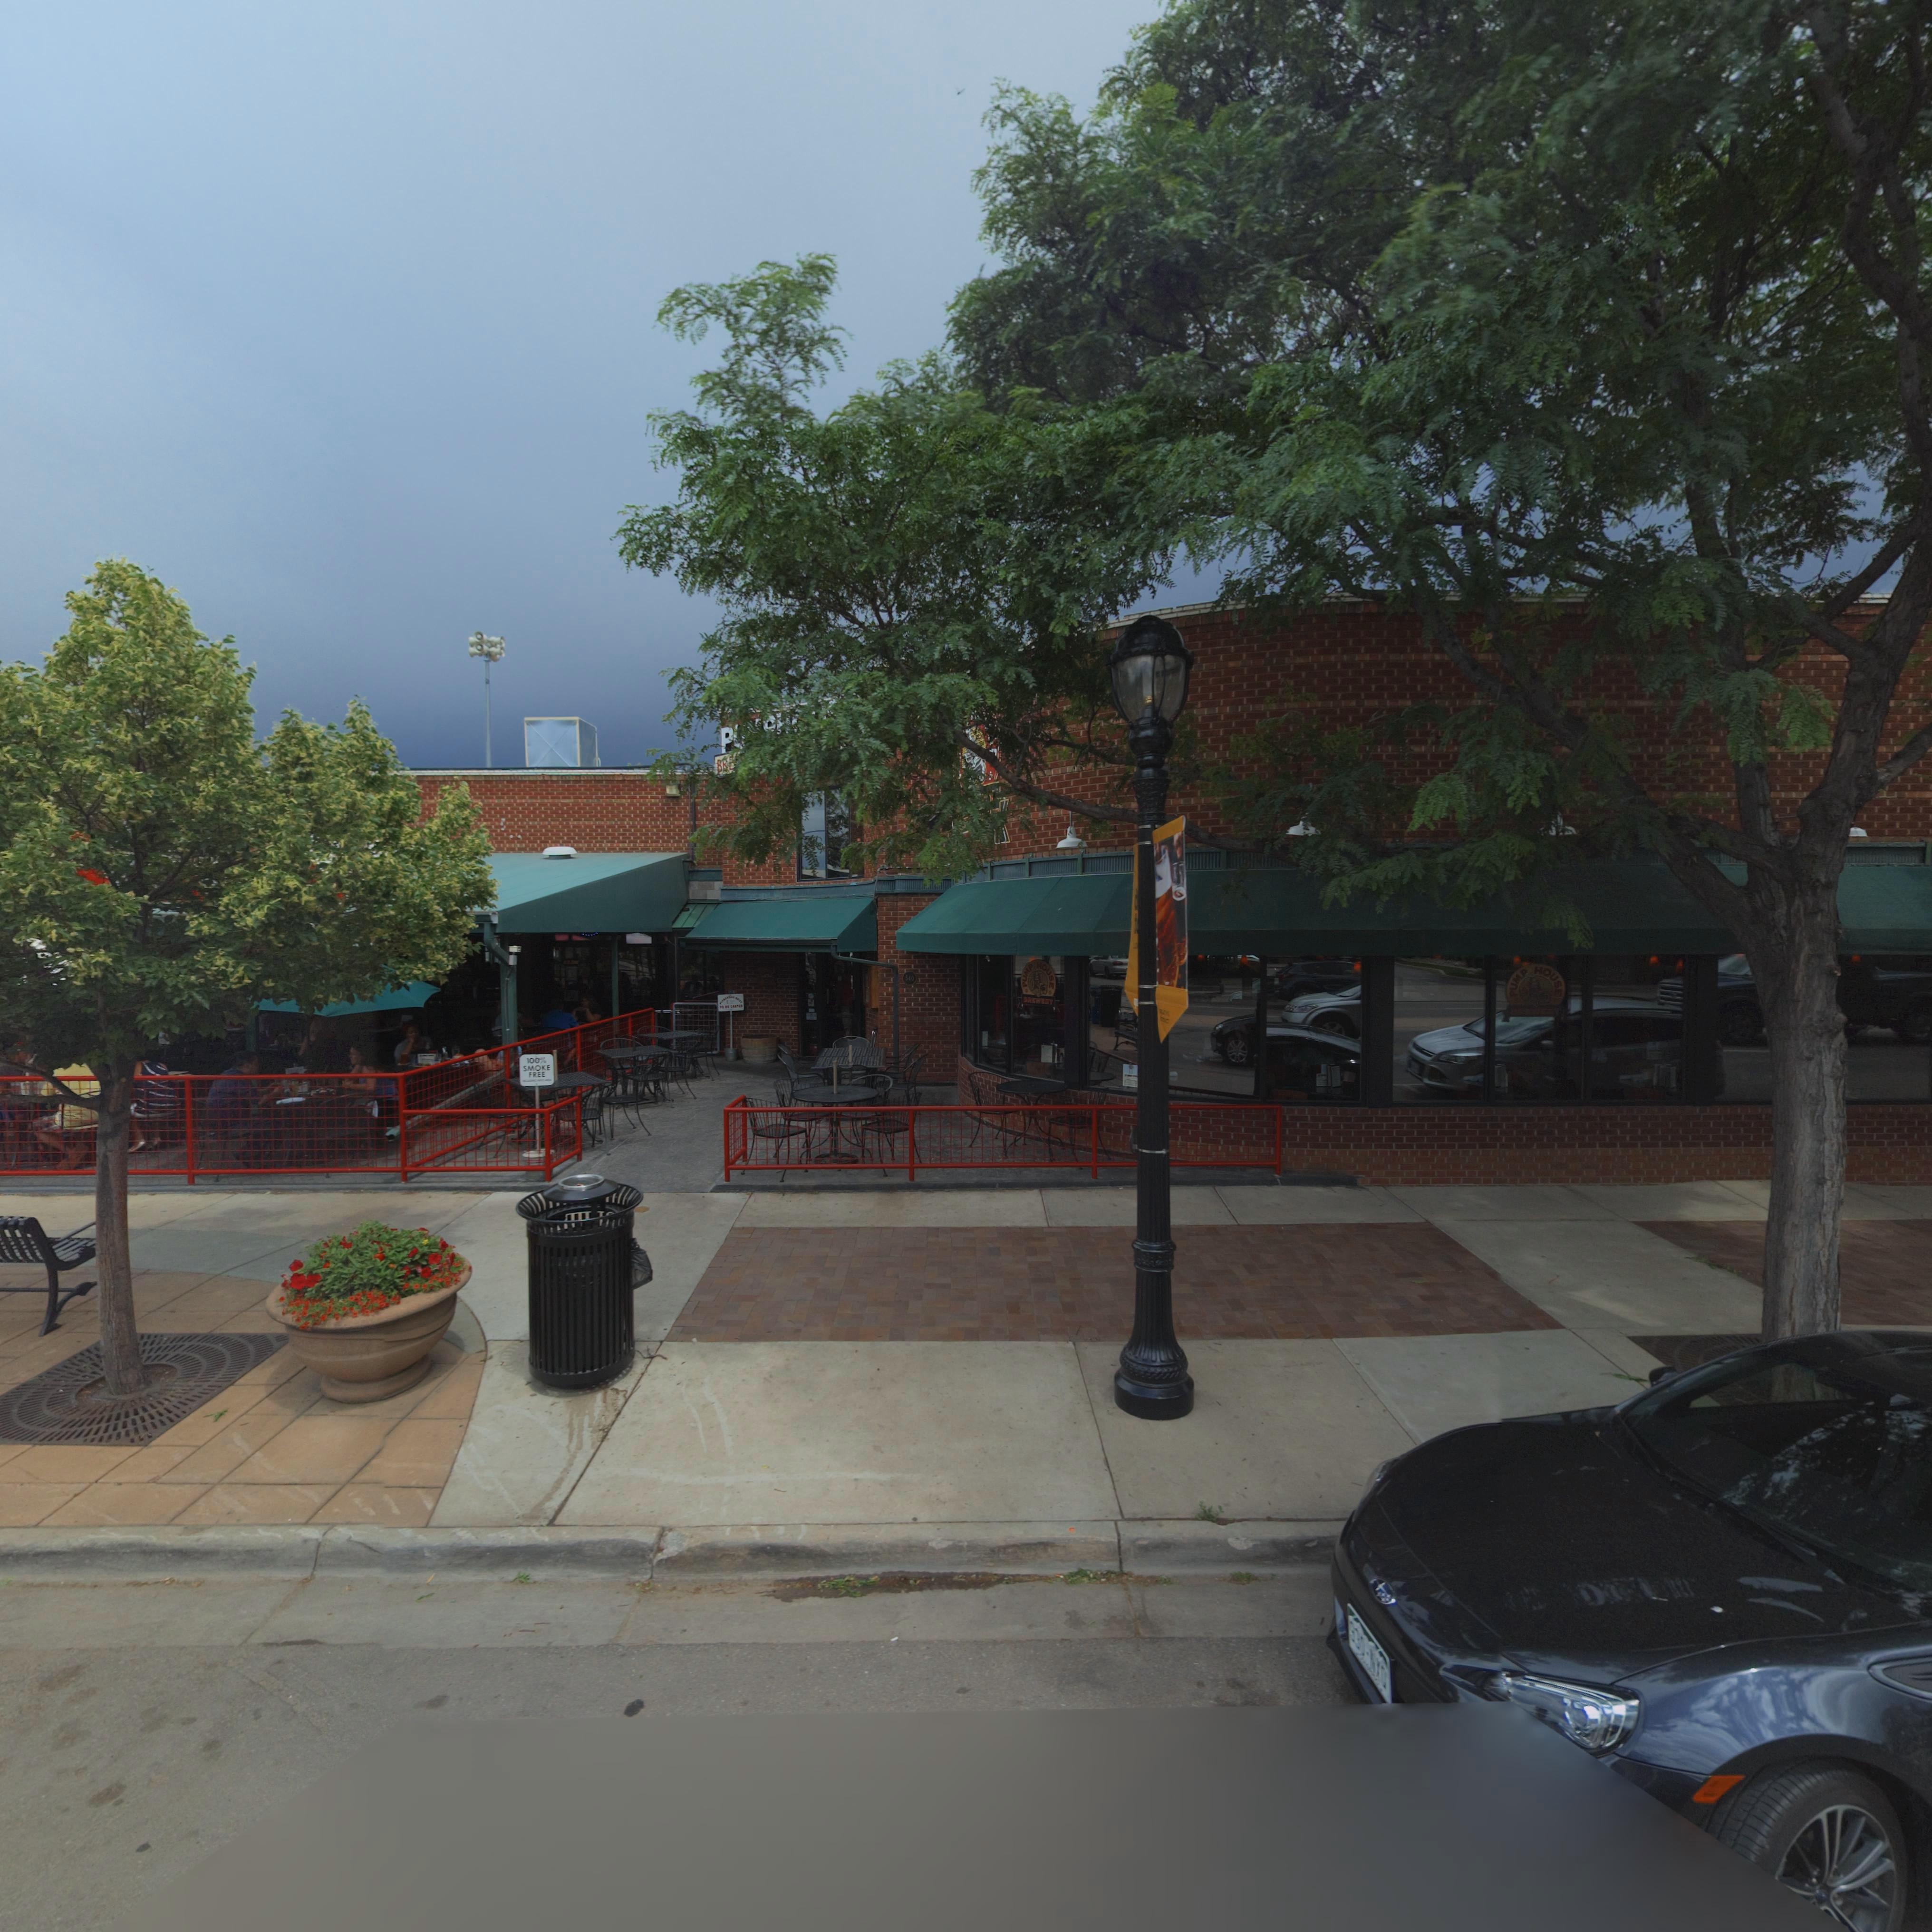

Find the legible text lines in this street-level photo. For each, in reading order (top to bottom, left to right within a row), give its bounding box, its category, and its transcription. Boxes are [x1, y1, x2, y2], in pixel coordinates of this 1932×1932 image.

[720, 726, 734, 754] BusinessName: P
[716, 755, 735, 773] BusinessName: BRE
[905, 975, 915, 982] StreetNumber: 540
[1022, 961, 1054, 990] BusinessName: PUMP HOUSE
[1023, 996, 1054, 1005] BusinessName: BREWERY